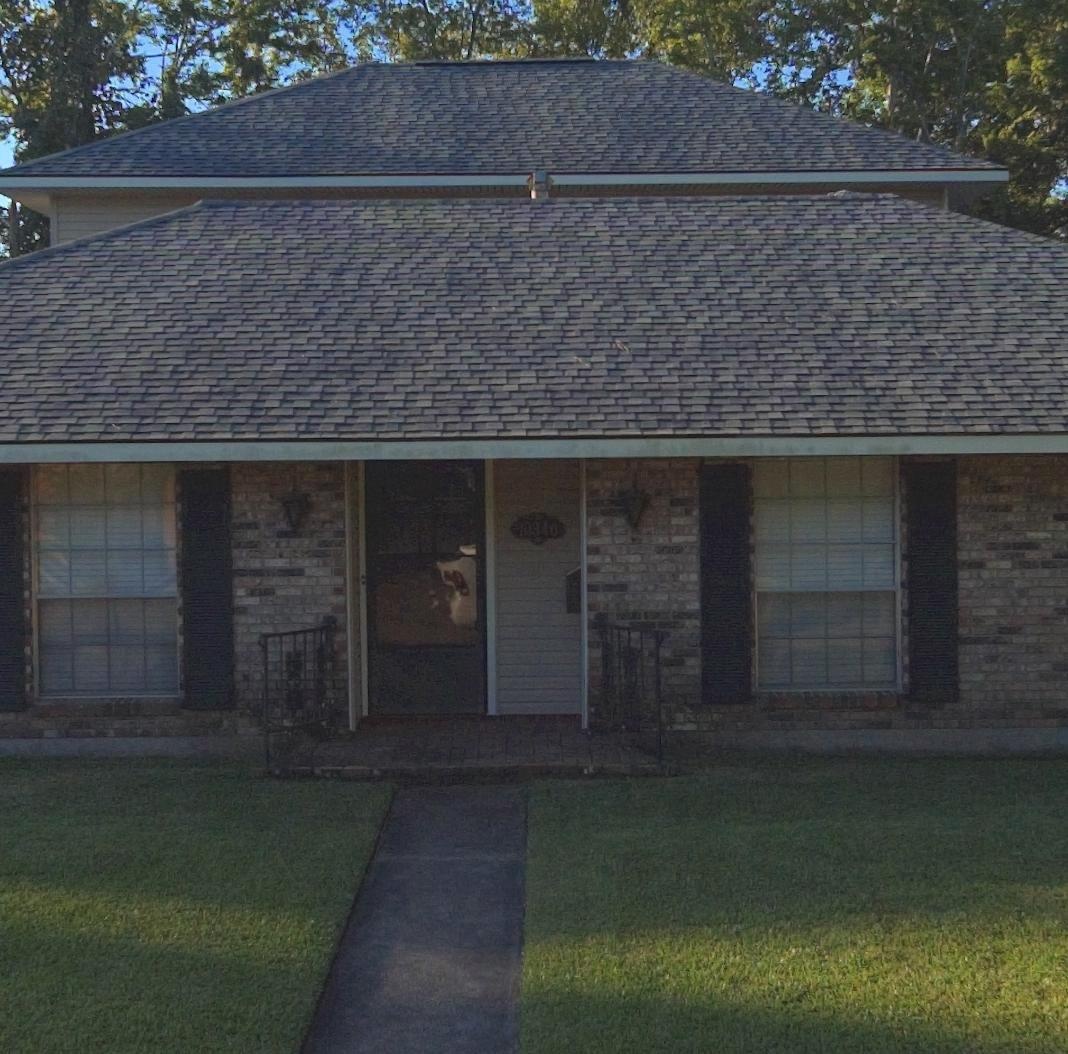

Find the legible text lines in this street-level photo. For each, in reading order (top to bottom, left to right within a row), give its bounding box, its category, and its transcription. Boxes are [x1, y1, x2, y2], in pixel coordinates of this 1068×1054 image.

[518, 518, 559, 540] StreetNumber: 10346